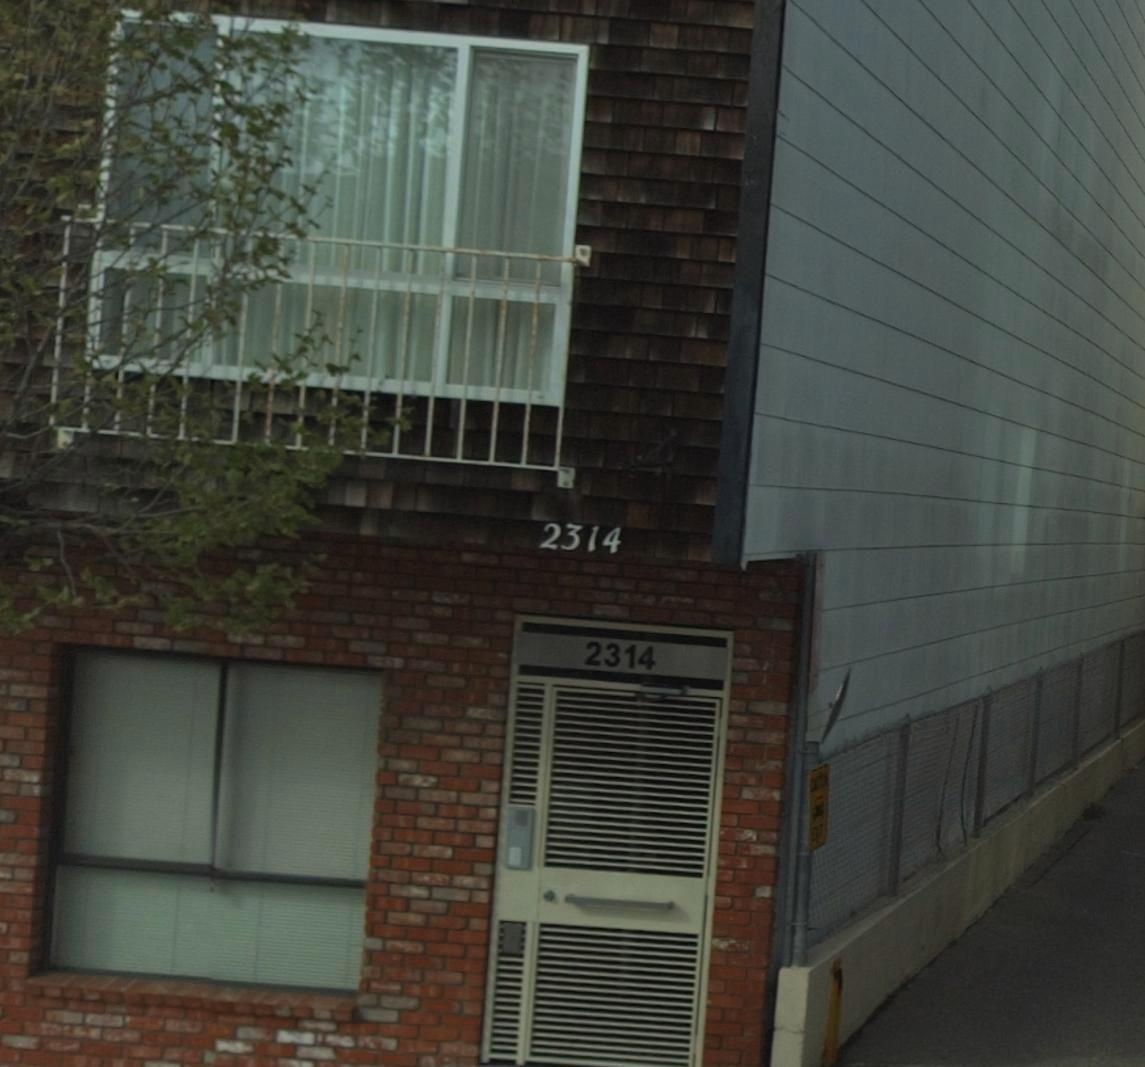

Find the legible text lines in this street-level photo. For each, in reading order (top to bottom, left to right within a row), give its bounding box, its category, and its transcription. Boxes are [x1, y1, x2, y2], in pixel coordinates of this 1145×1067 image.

[534, 518, 629, 558] StreetNumber: 2314
[581, 636, 660, 674] StreetNumber: 2314